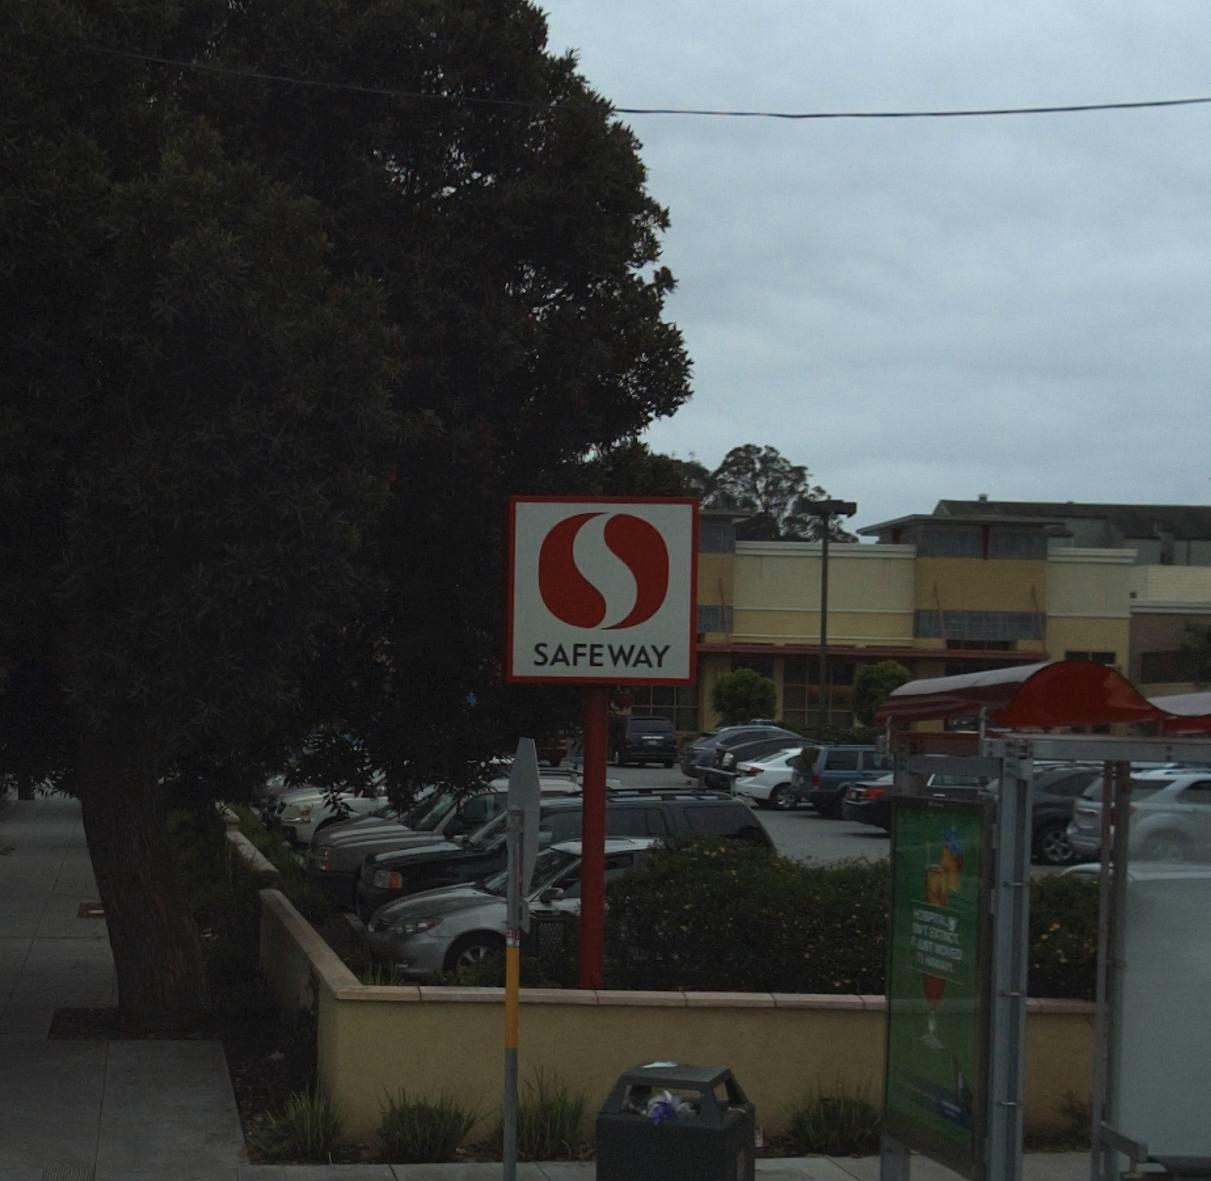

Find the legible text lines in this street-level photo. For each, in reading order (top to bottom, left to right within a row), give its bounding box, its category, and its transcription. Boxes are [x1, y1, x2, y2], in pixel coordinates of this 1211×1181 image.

[531, 640, 675, 670] BusinessName: SAFEWAY
[948, 945, 964, 962] None: ED